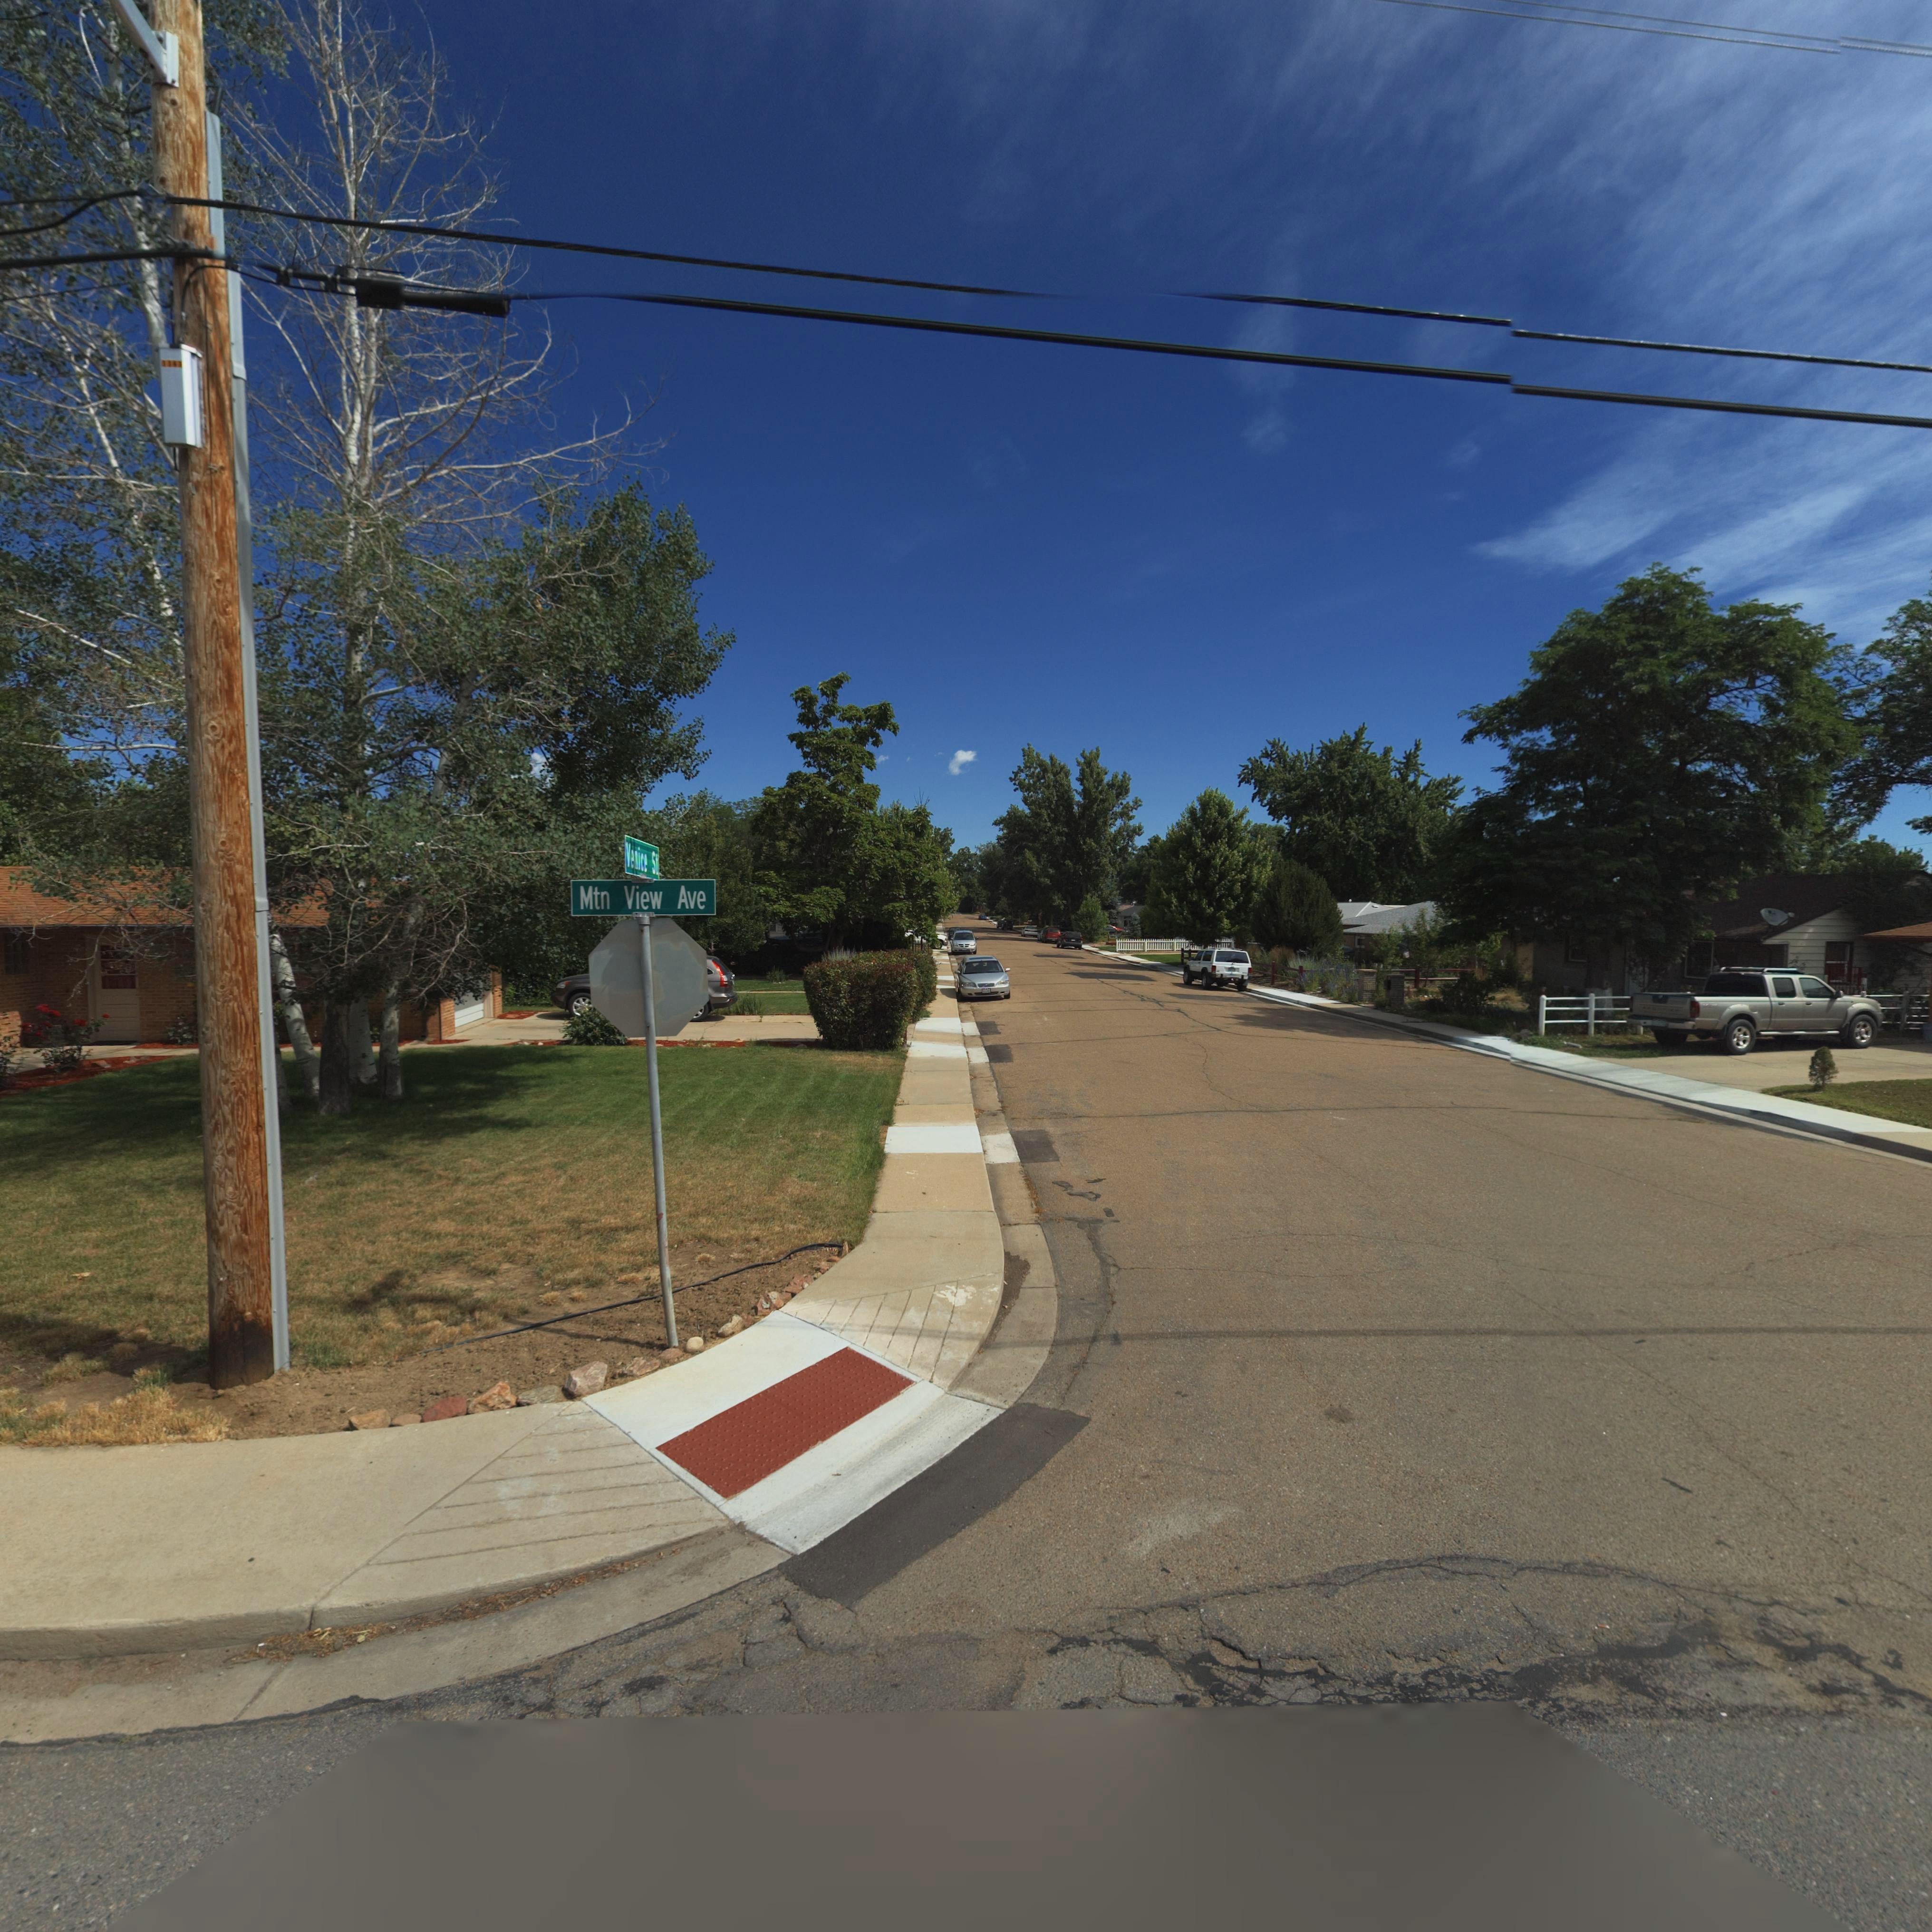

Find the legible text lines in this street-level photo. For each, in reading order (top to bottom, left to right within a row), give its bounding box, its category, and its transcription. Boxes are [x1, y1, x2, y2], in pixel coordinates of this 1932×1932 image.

[626, 841, 658, 875] StreetName: Venice St
[580, 885, 706, 910] StreetName: Mtn View Ave